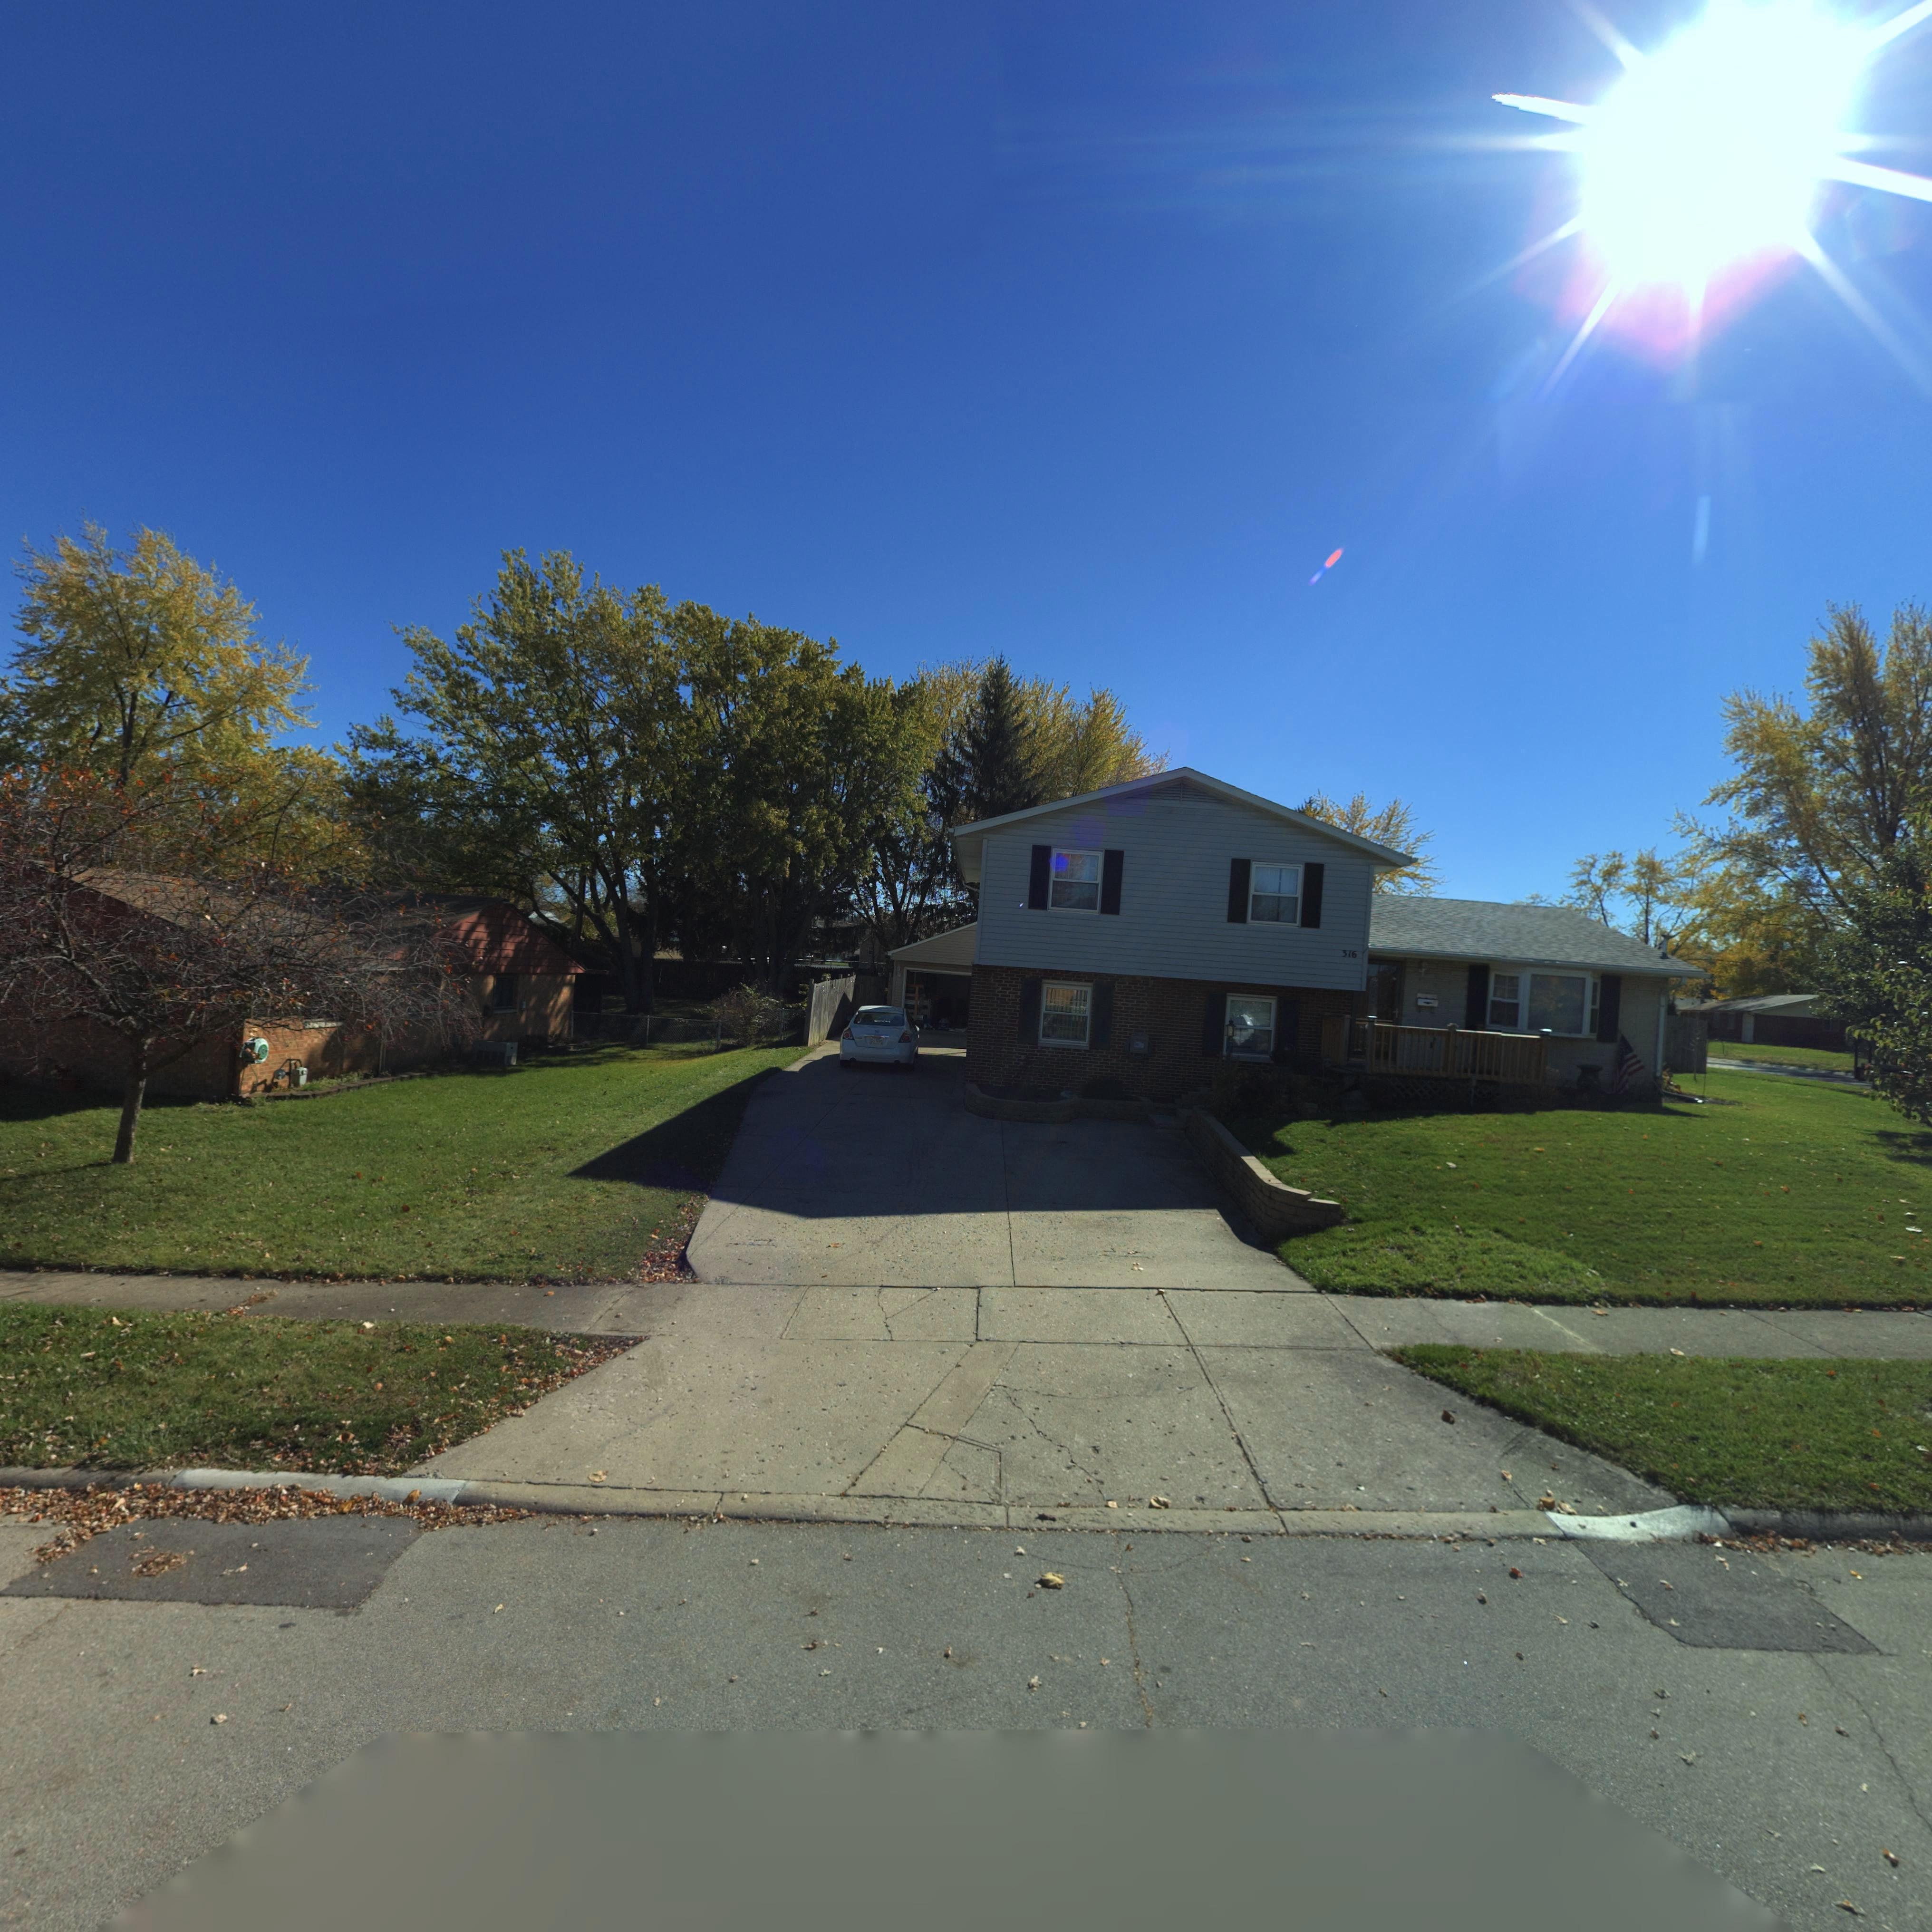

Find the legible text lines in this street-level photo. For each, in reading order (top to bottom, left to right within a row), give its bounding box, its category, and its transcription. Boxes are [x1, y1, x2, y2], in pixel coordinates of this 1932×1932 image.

[1341, 949, 1358, 960] StreetNumber: 316